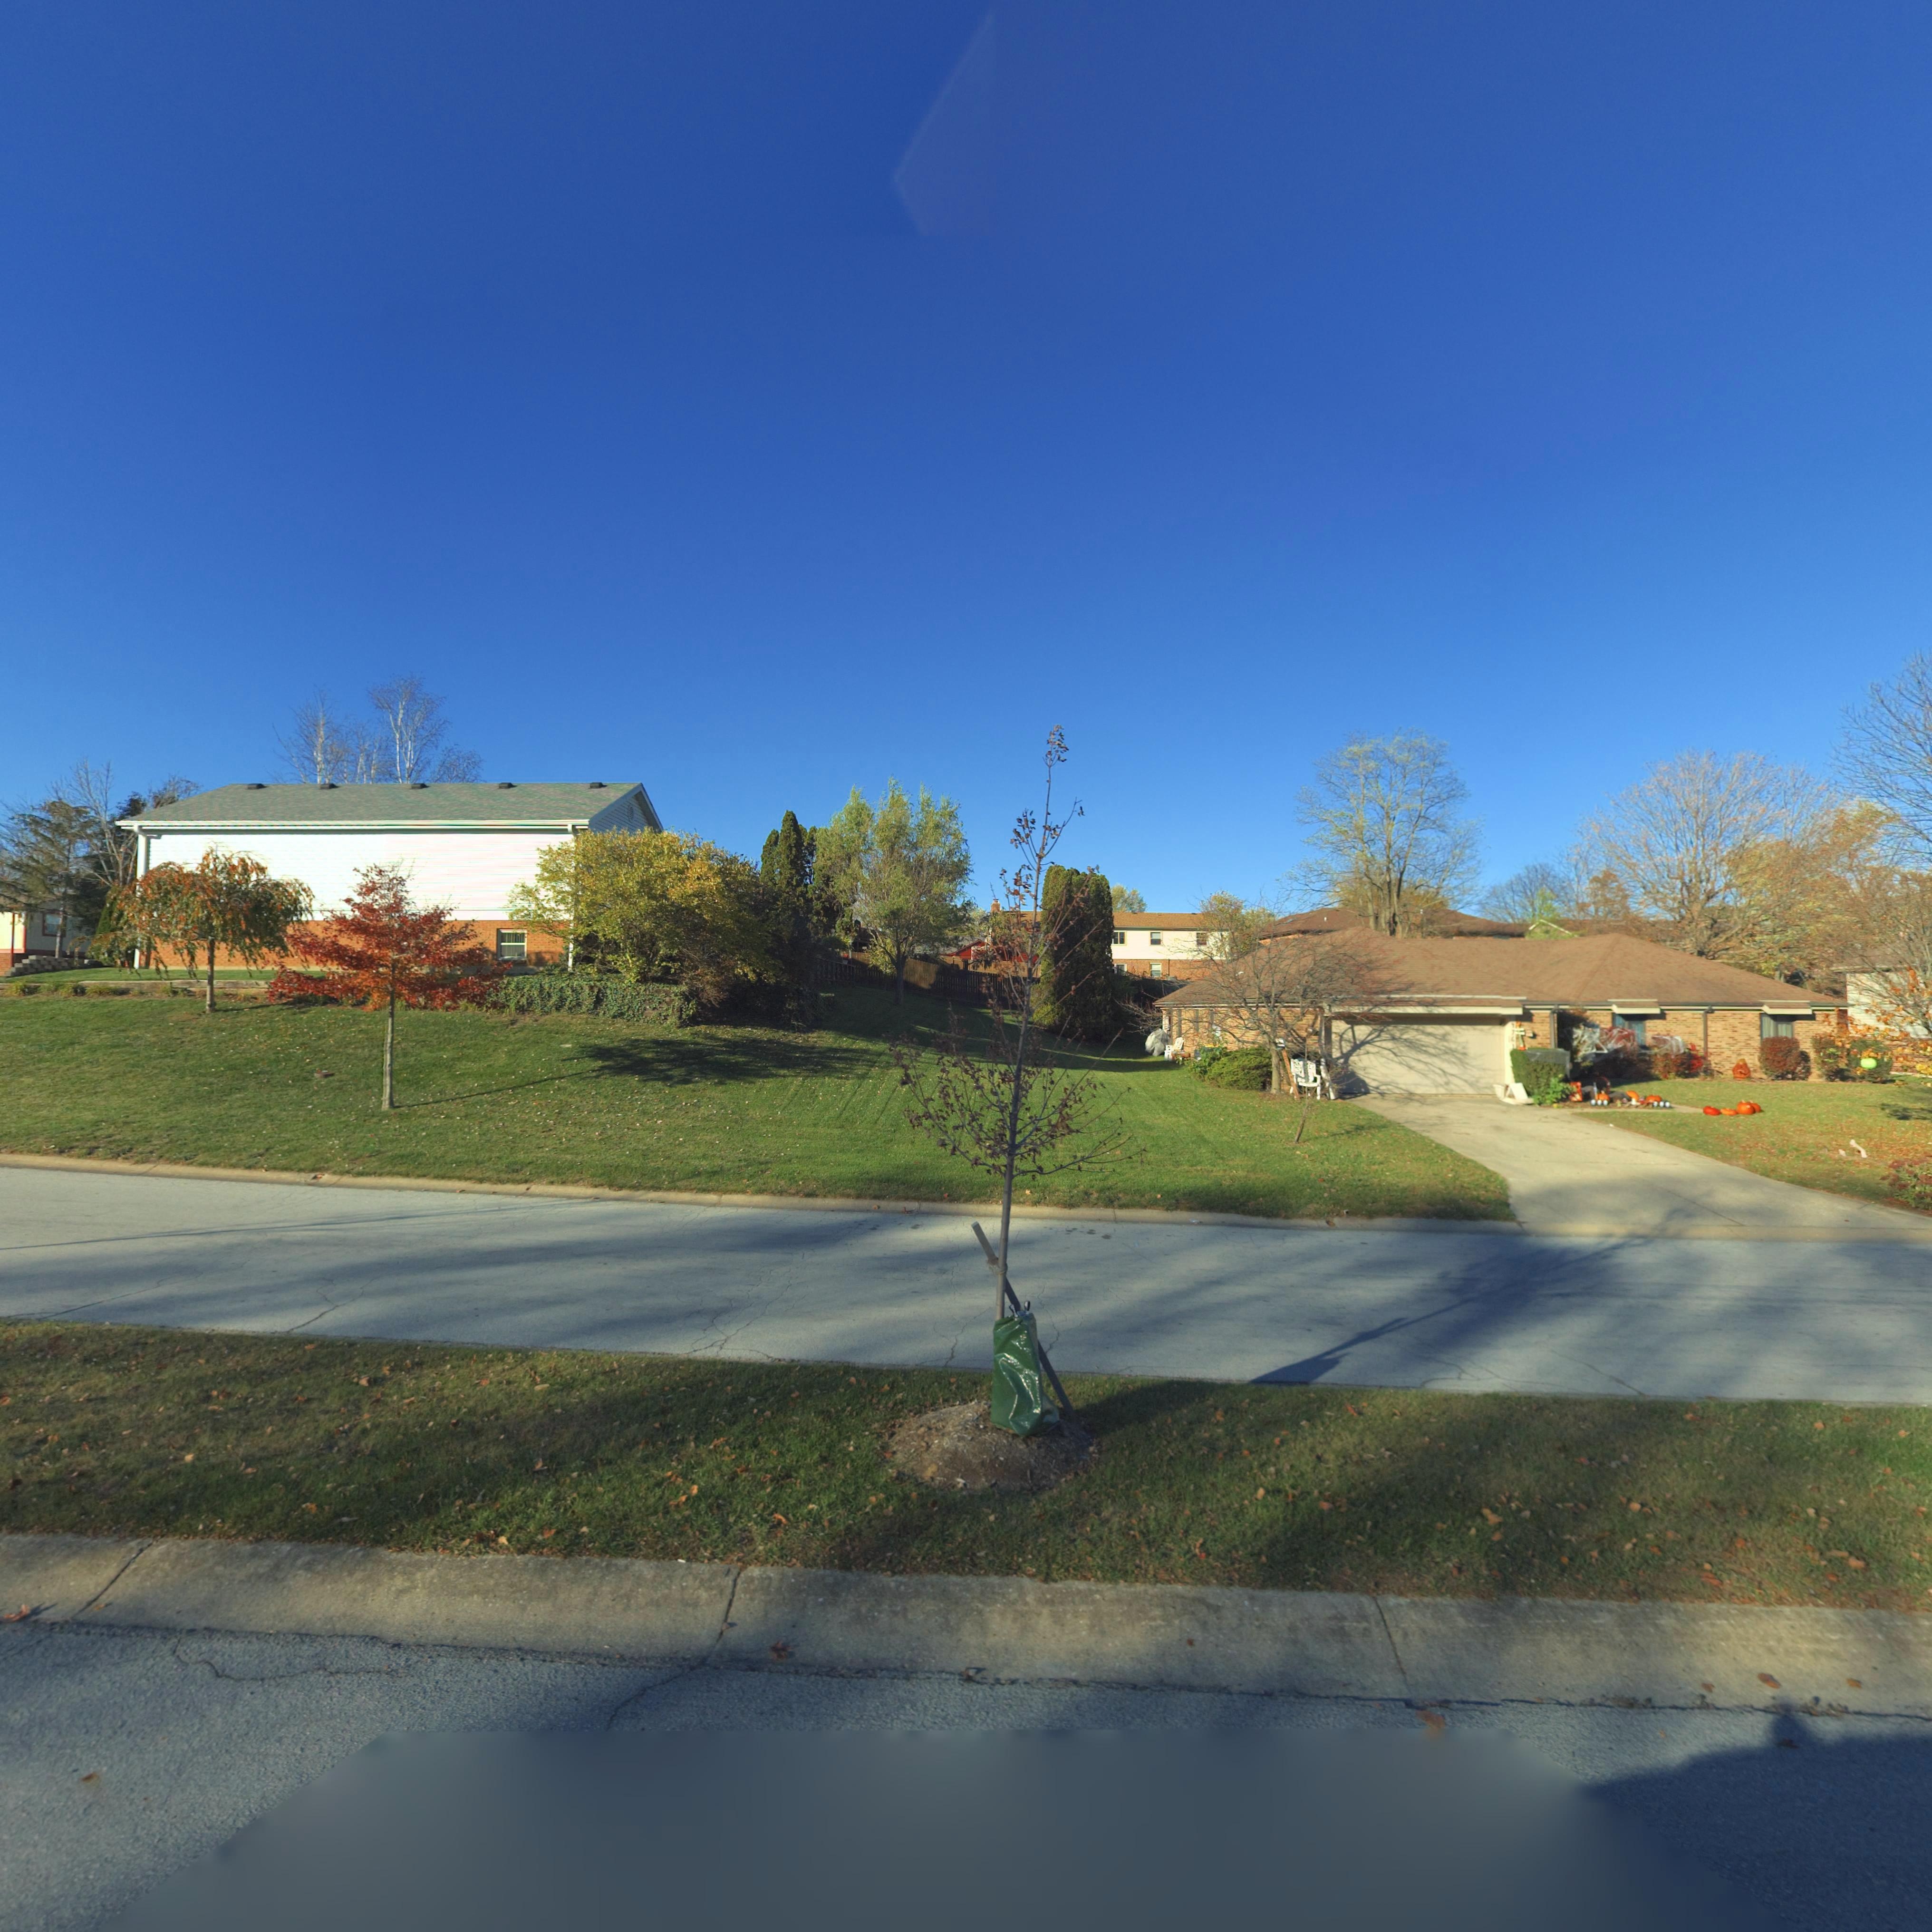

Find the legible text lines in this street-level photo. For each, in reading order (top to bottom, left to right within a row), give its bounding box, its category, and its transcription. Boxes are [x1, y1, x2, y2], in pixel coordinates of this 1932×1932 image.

[1510, 1021, 1516, 1050] StreetNumber: *76*